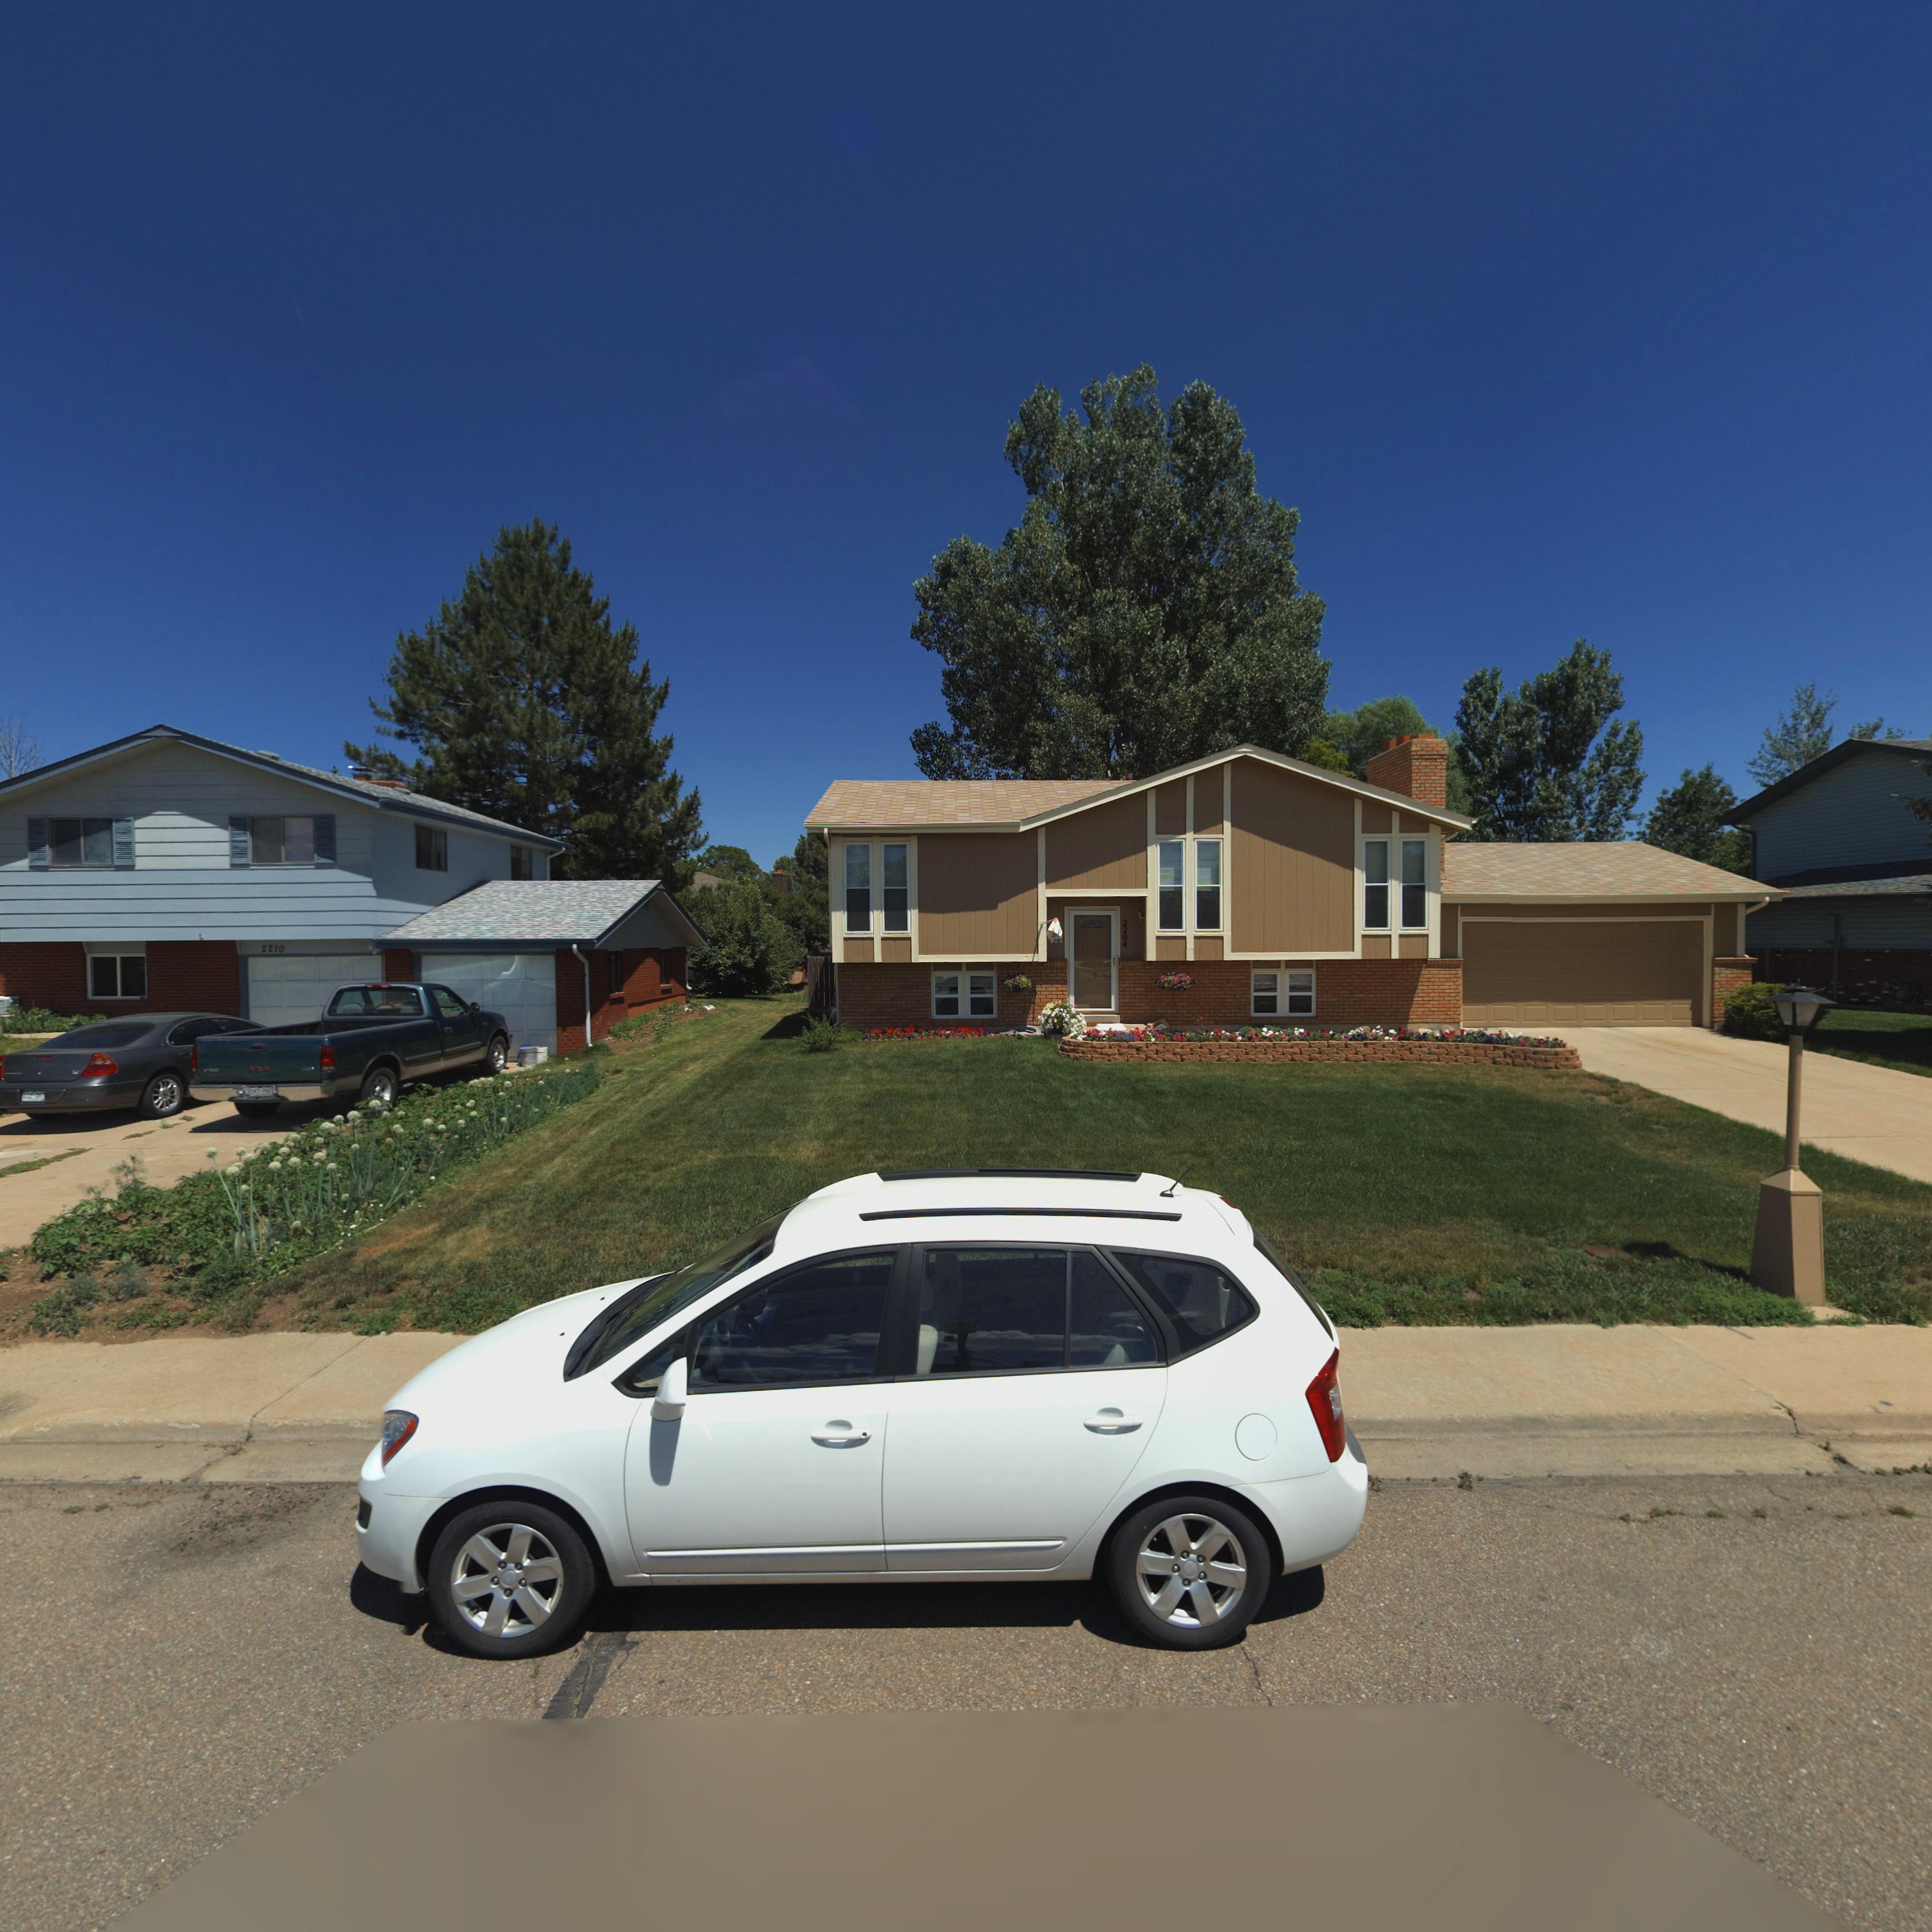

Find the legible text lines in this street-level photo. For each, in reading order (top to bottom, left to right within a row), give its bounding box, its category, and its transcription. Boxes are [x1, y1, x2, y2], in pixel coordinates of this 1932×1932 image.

[261, 944, 285, 953] StreetNumber: 2210
[1121, 918, 1129, 948] StreetNumber: 2204